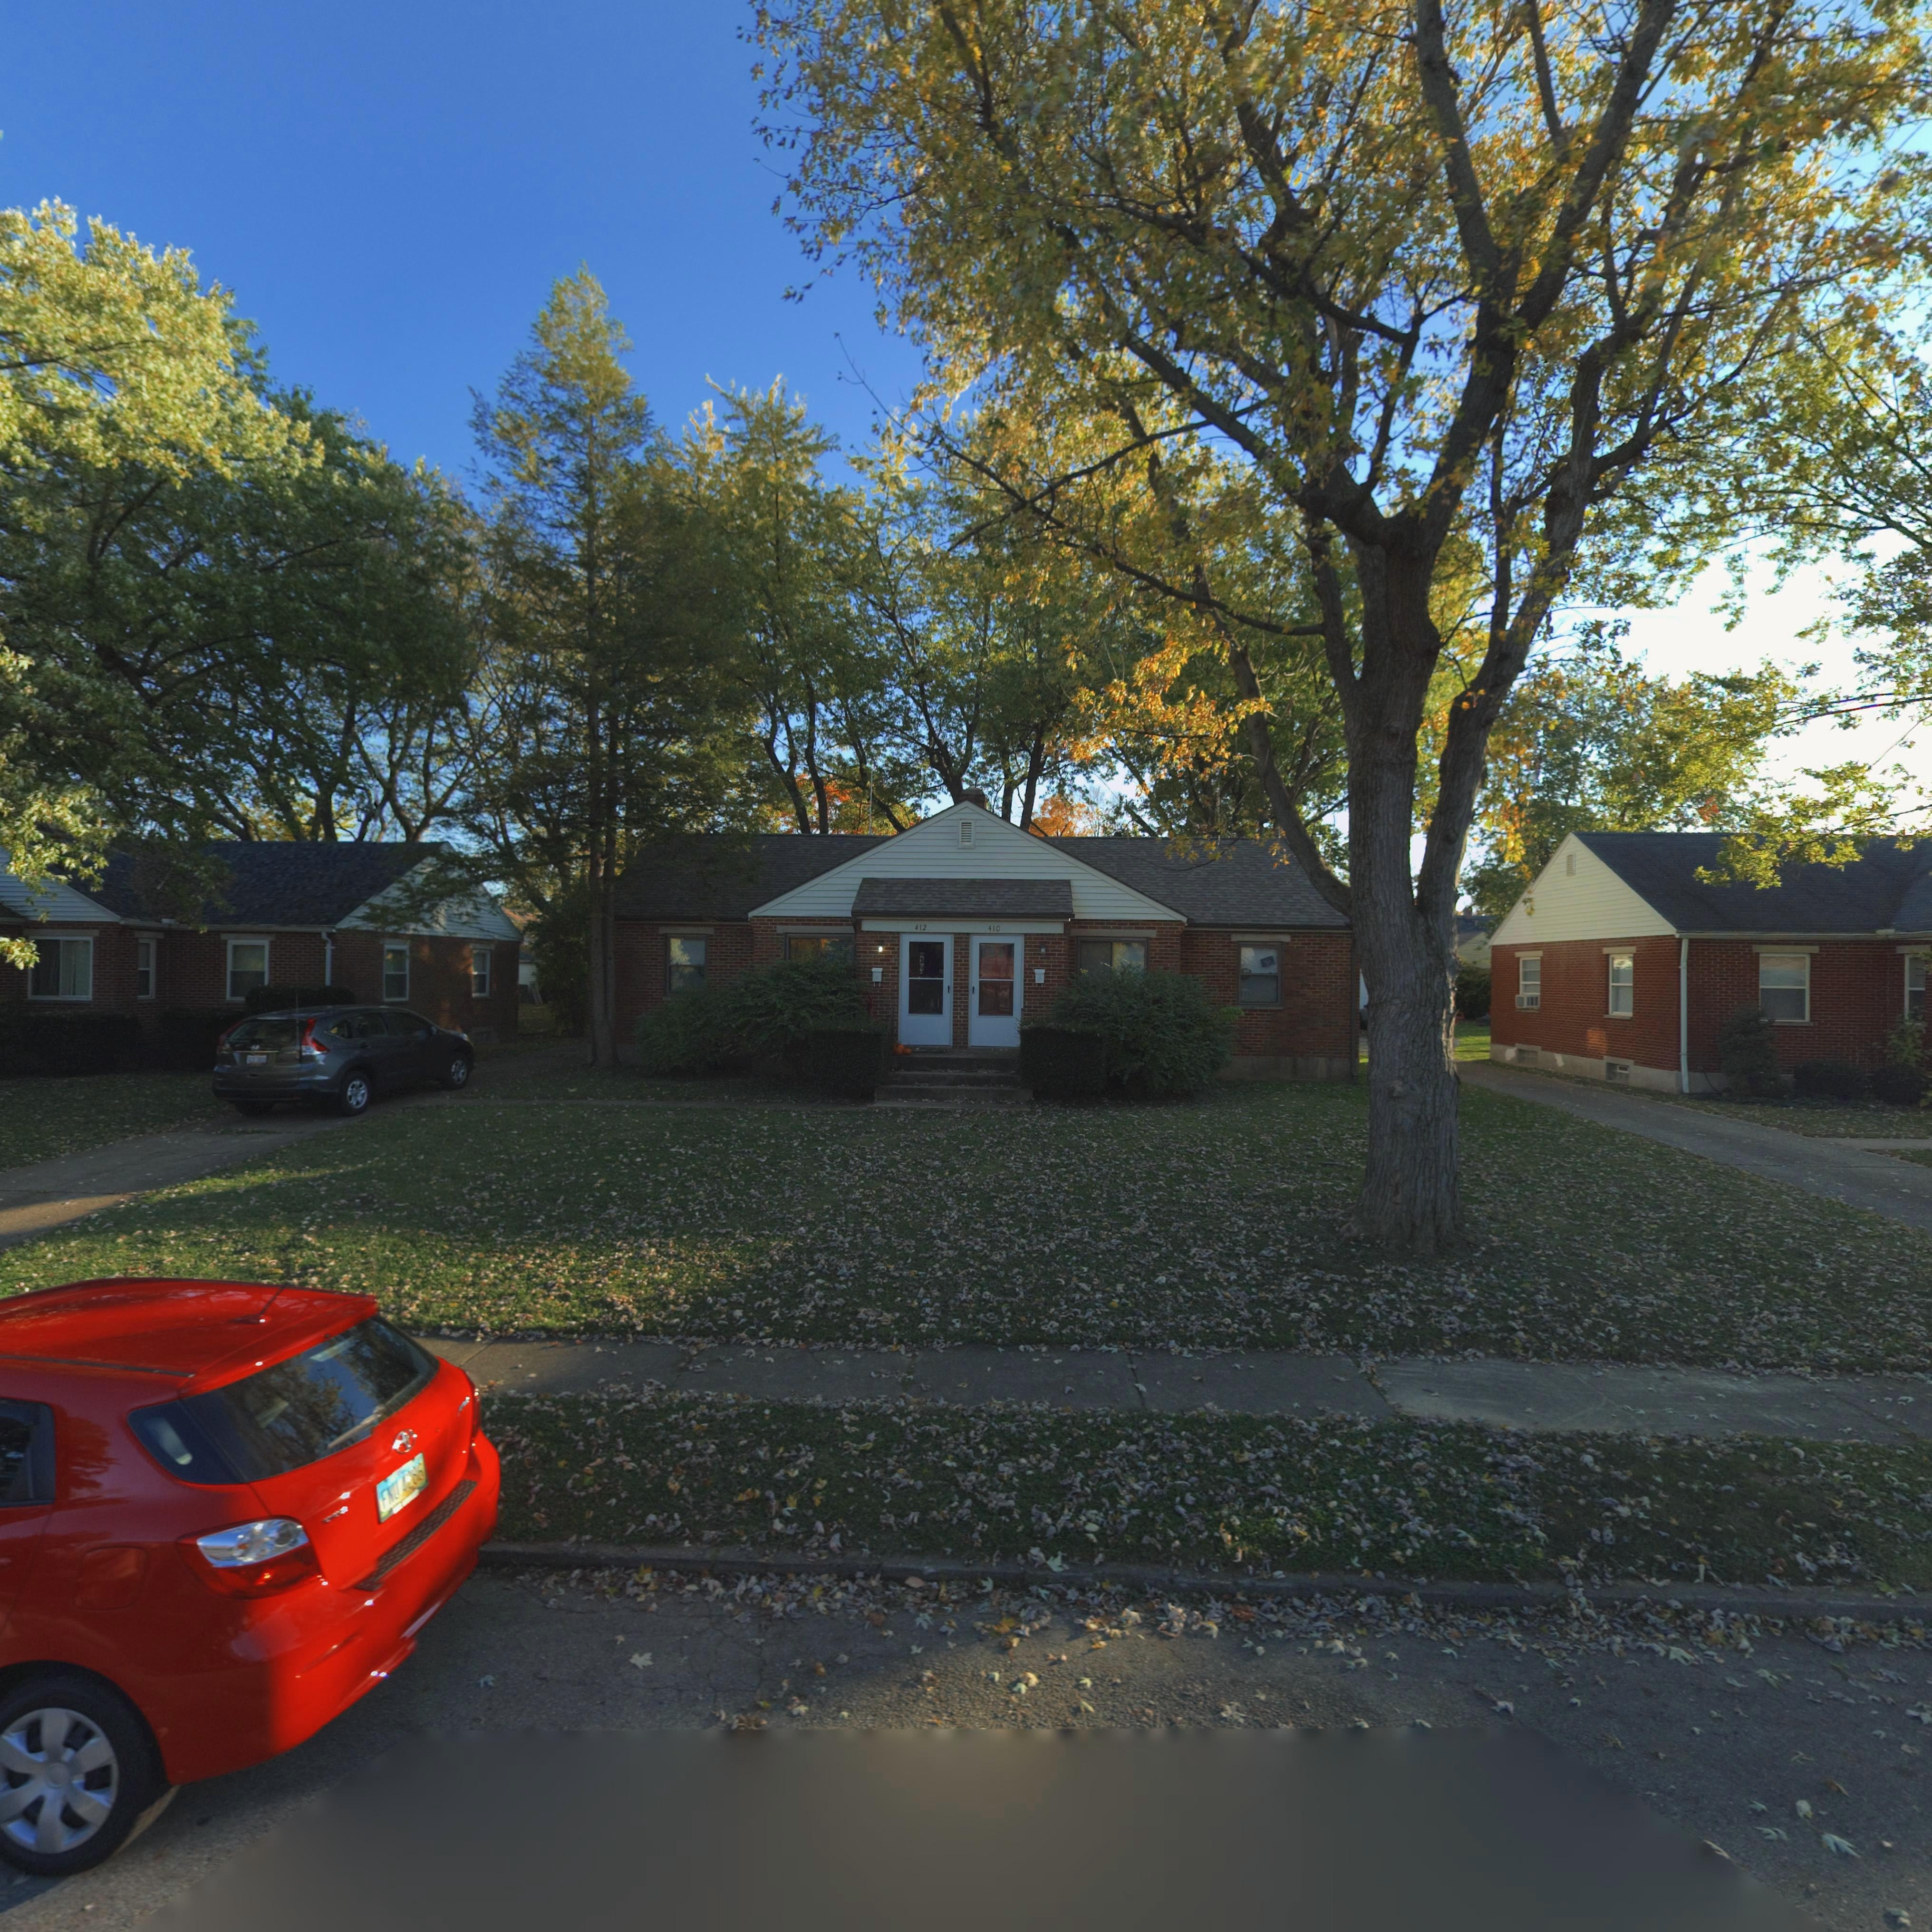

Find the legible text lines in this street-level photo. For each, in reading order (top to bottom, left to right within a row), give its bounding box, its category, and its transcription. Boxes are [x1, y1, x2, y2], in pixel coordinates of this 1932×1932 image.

[914, 923, 927, 931] StreetNumber: 412
[987, 924, 1002, 932] StreetNumber: 410